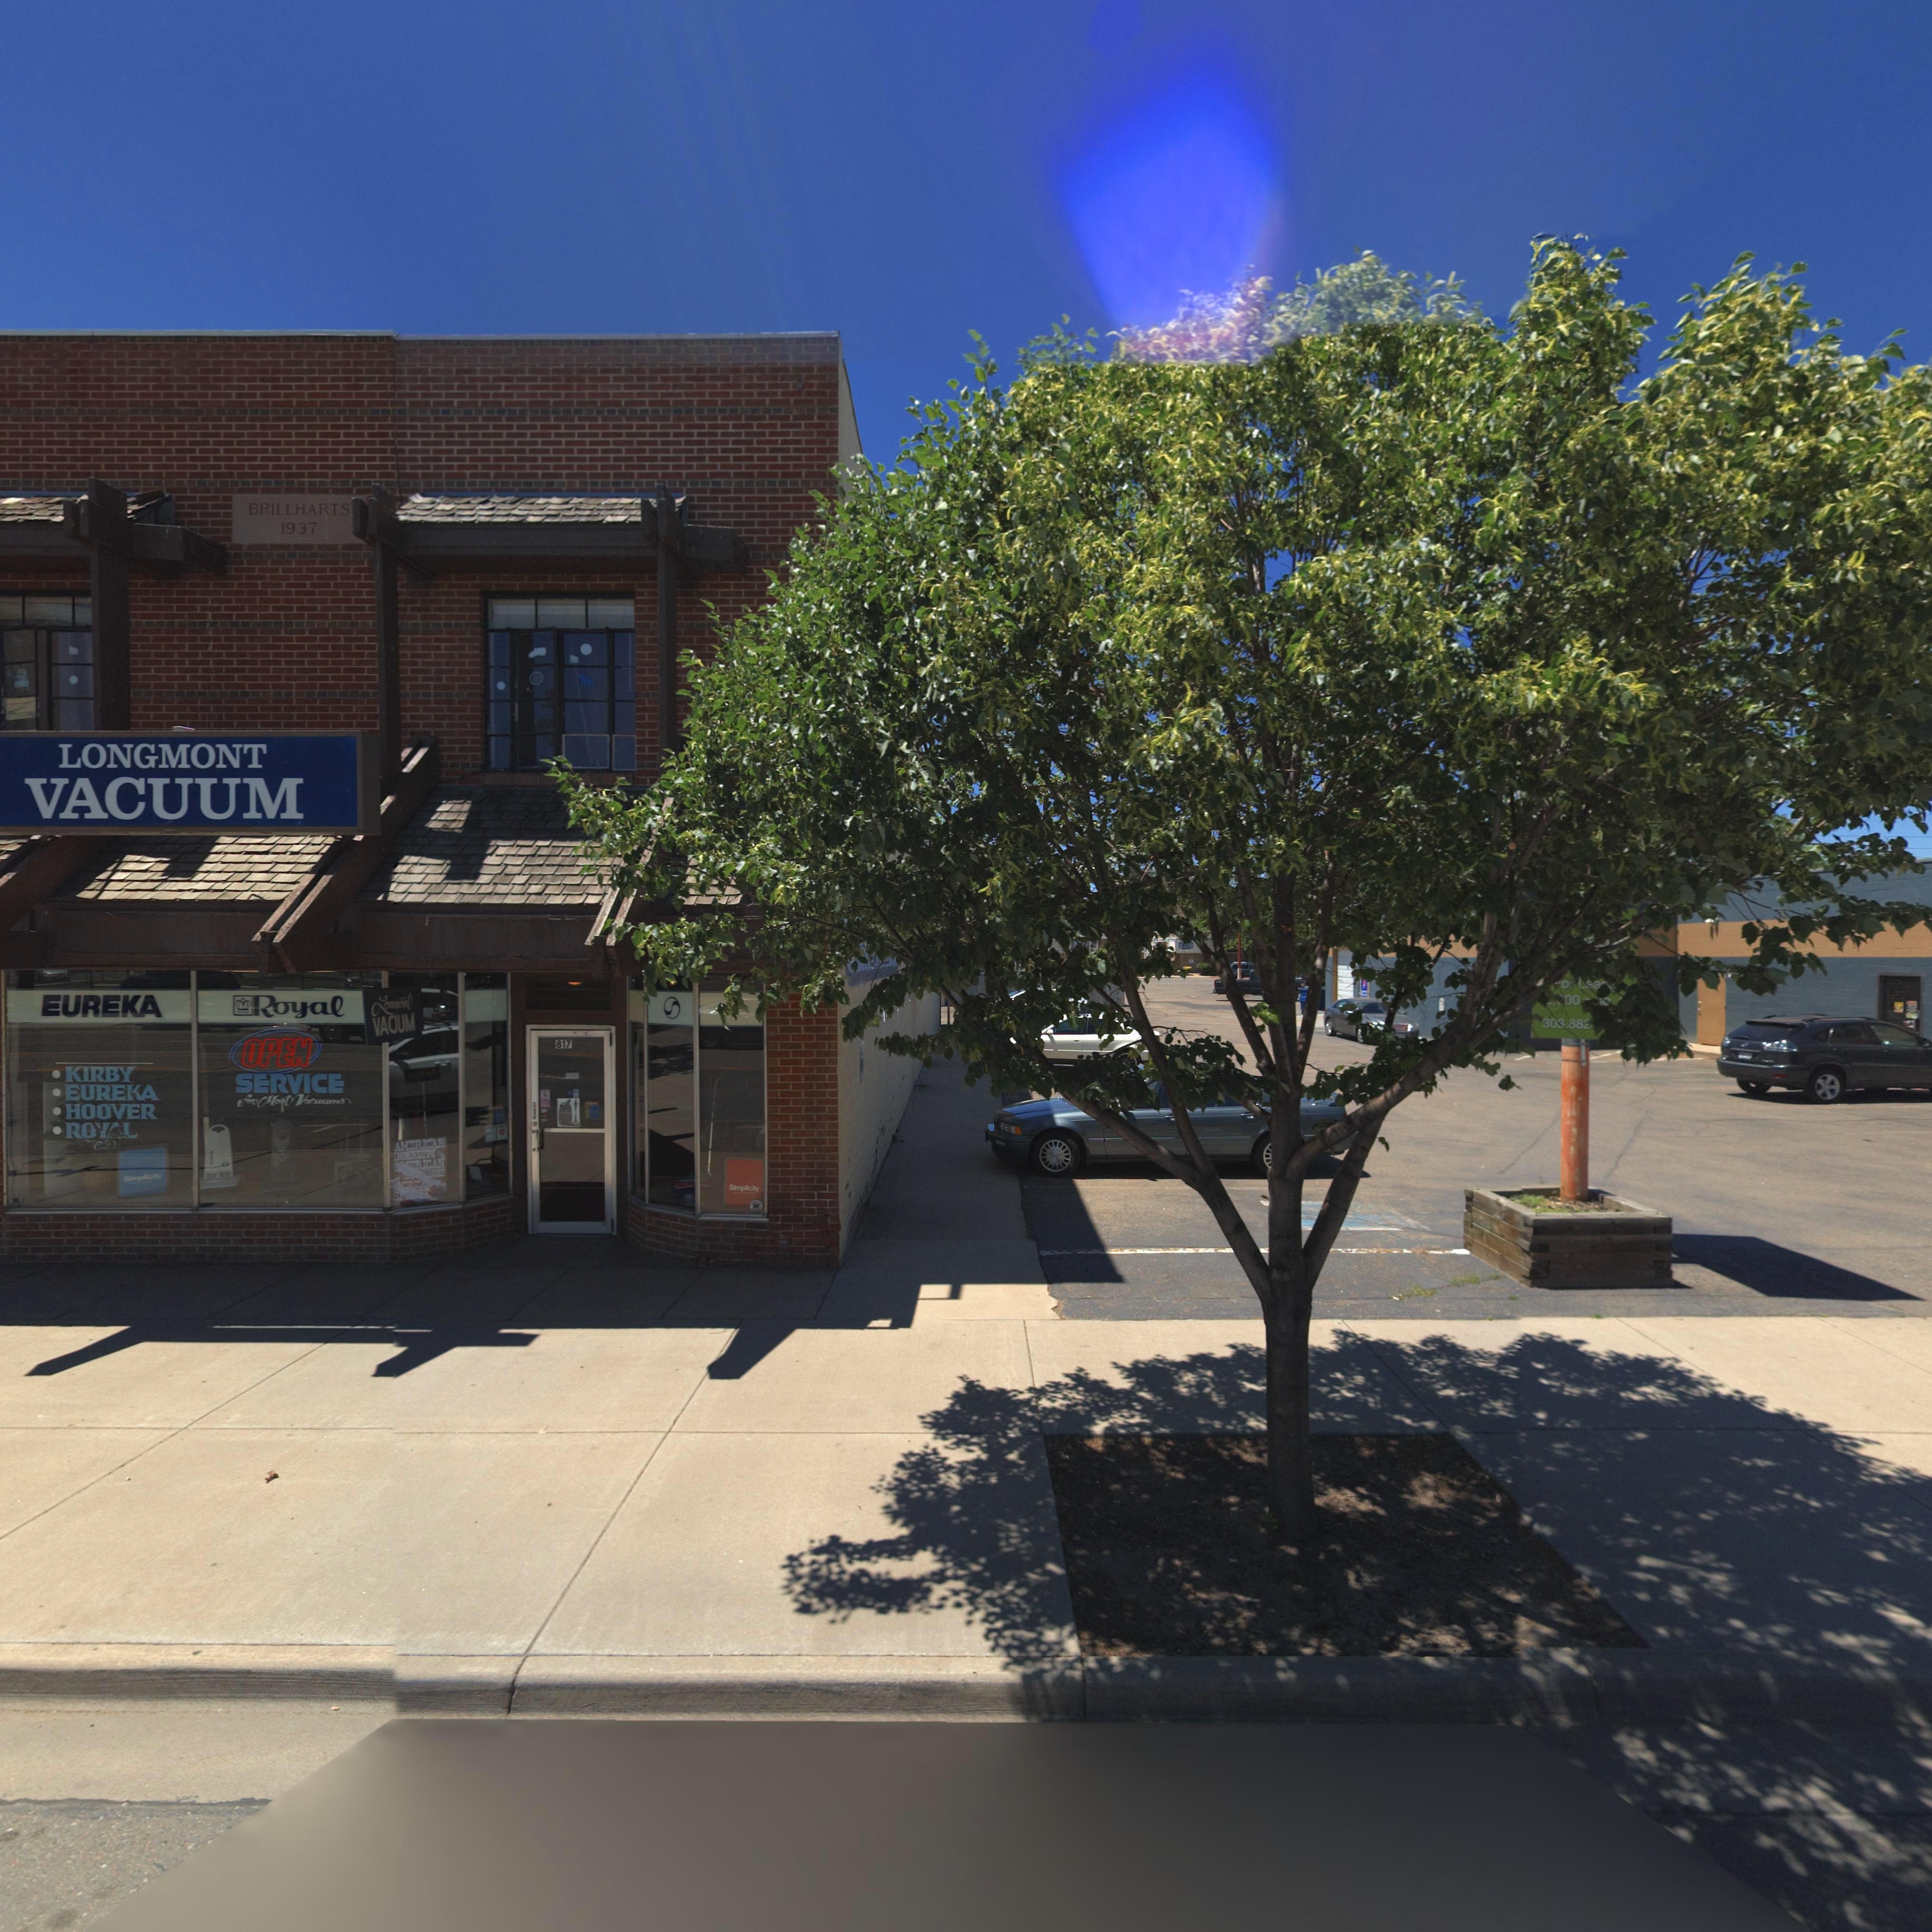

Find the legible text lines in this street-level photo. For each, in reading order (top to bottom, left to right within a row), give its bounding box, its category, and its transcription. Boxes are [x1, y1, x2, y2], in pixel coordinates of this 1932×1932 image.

[58, 743, 268, 769] BusinessName: LONGMONT
[24, 777, 304, 820] BusinessName: VACUUM
[370, 992, 414, 1017] BusinessName: Lon*mont
[371, 1012, 416, 1037] BusinessName: VAC*UM
[556, 1040, 570, 1048] StreetNumber: 817